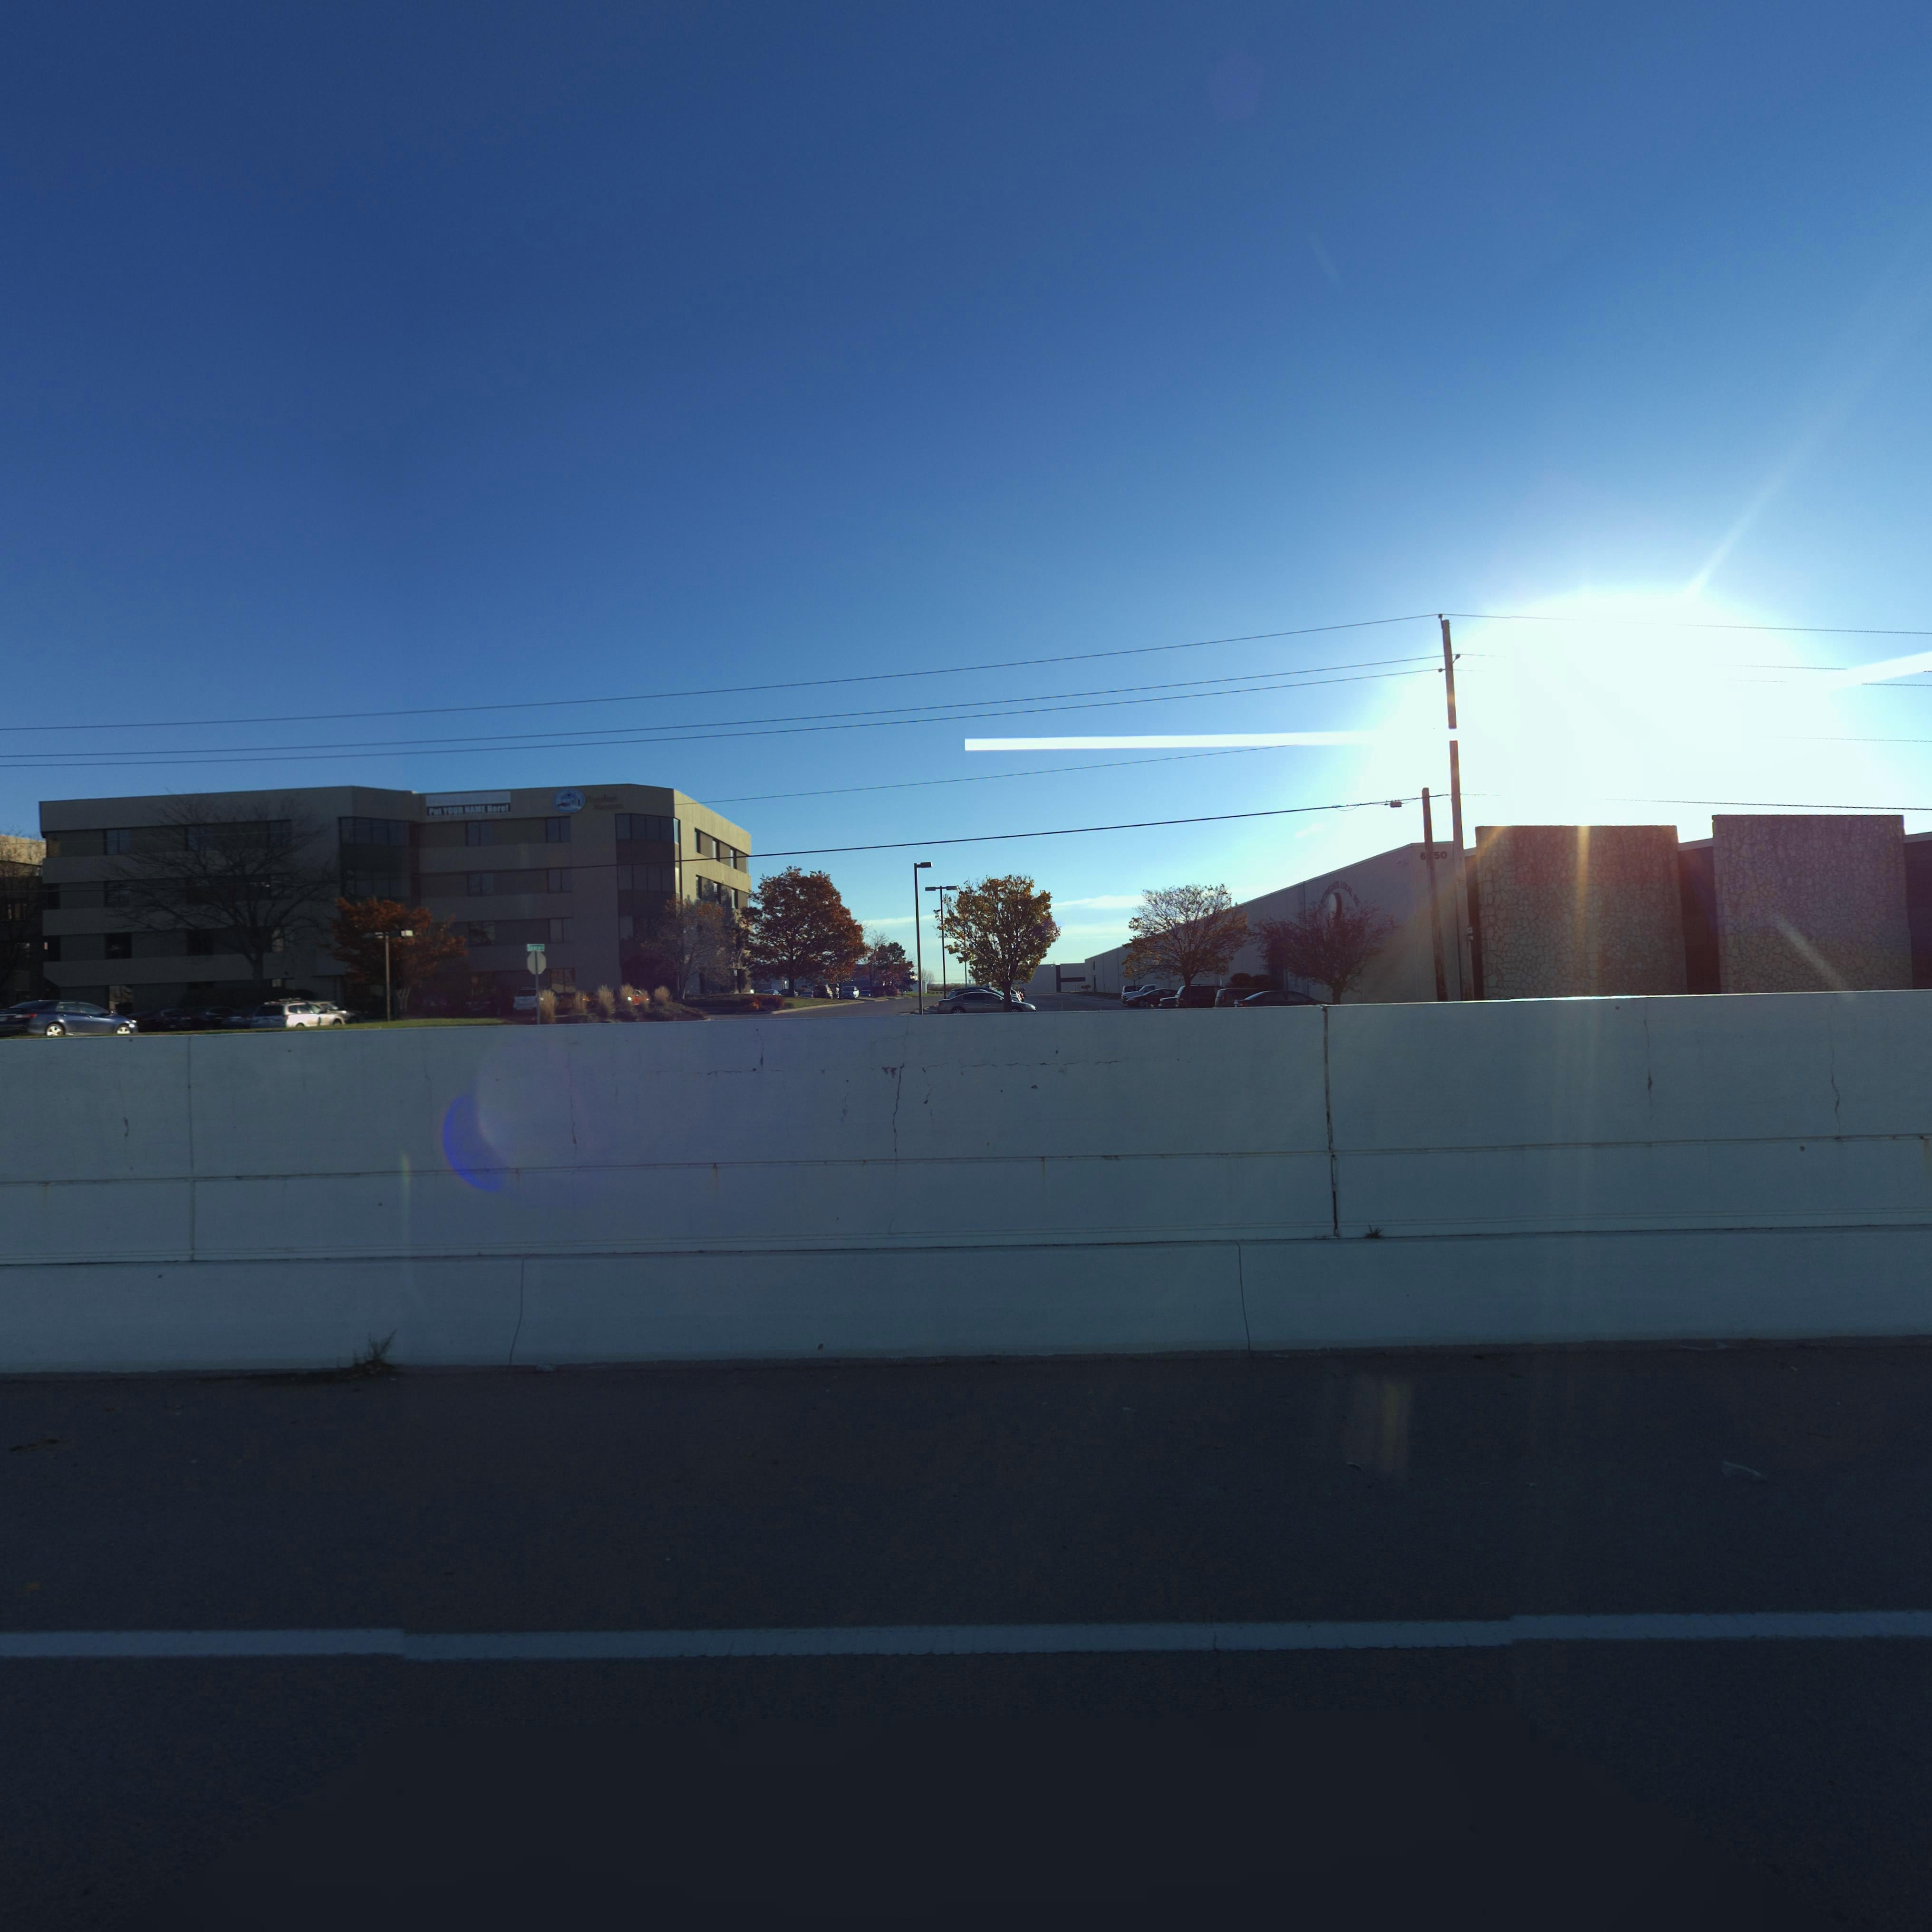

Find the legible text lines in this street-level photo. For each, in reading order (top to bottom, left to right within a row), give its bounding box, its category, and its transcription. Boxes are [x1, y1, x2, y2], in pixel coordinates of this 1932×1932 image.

[1419, 850, 1449, 861] StreetNumber: 6*50